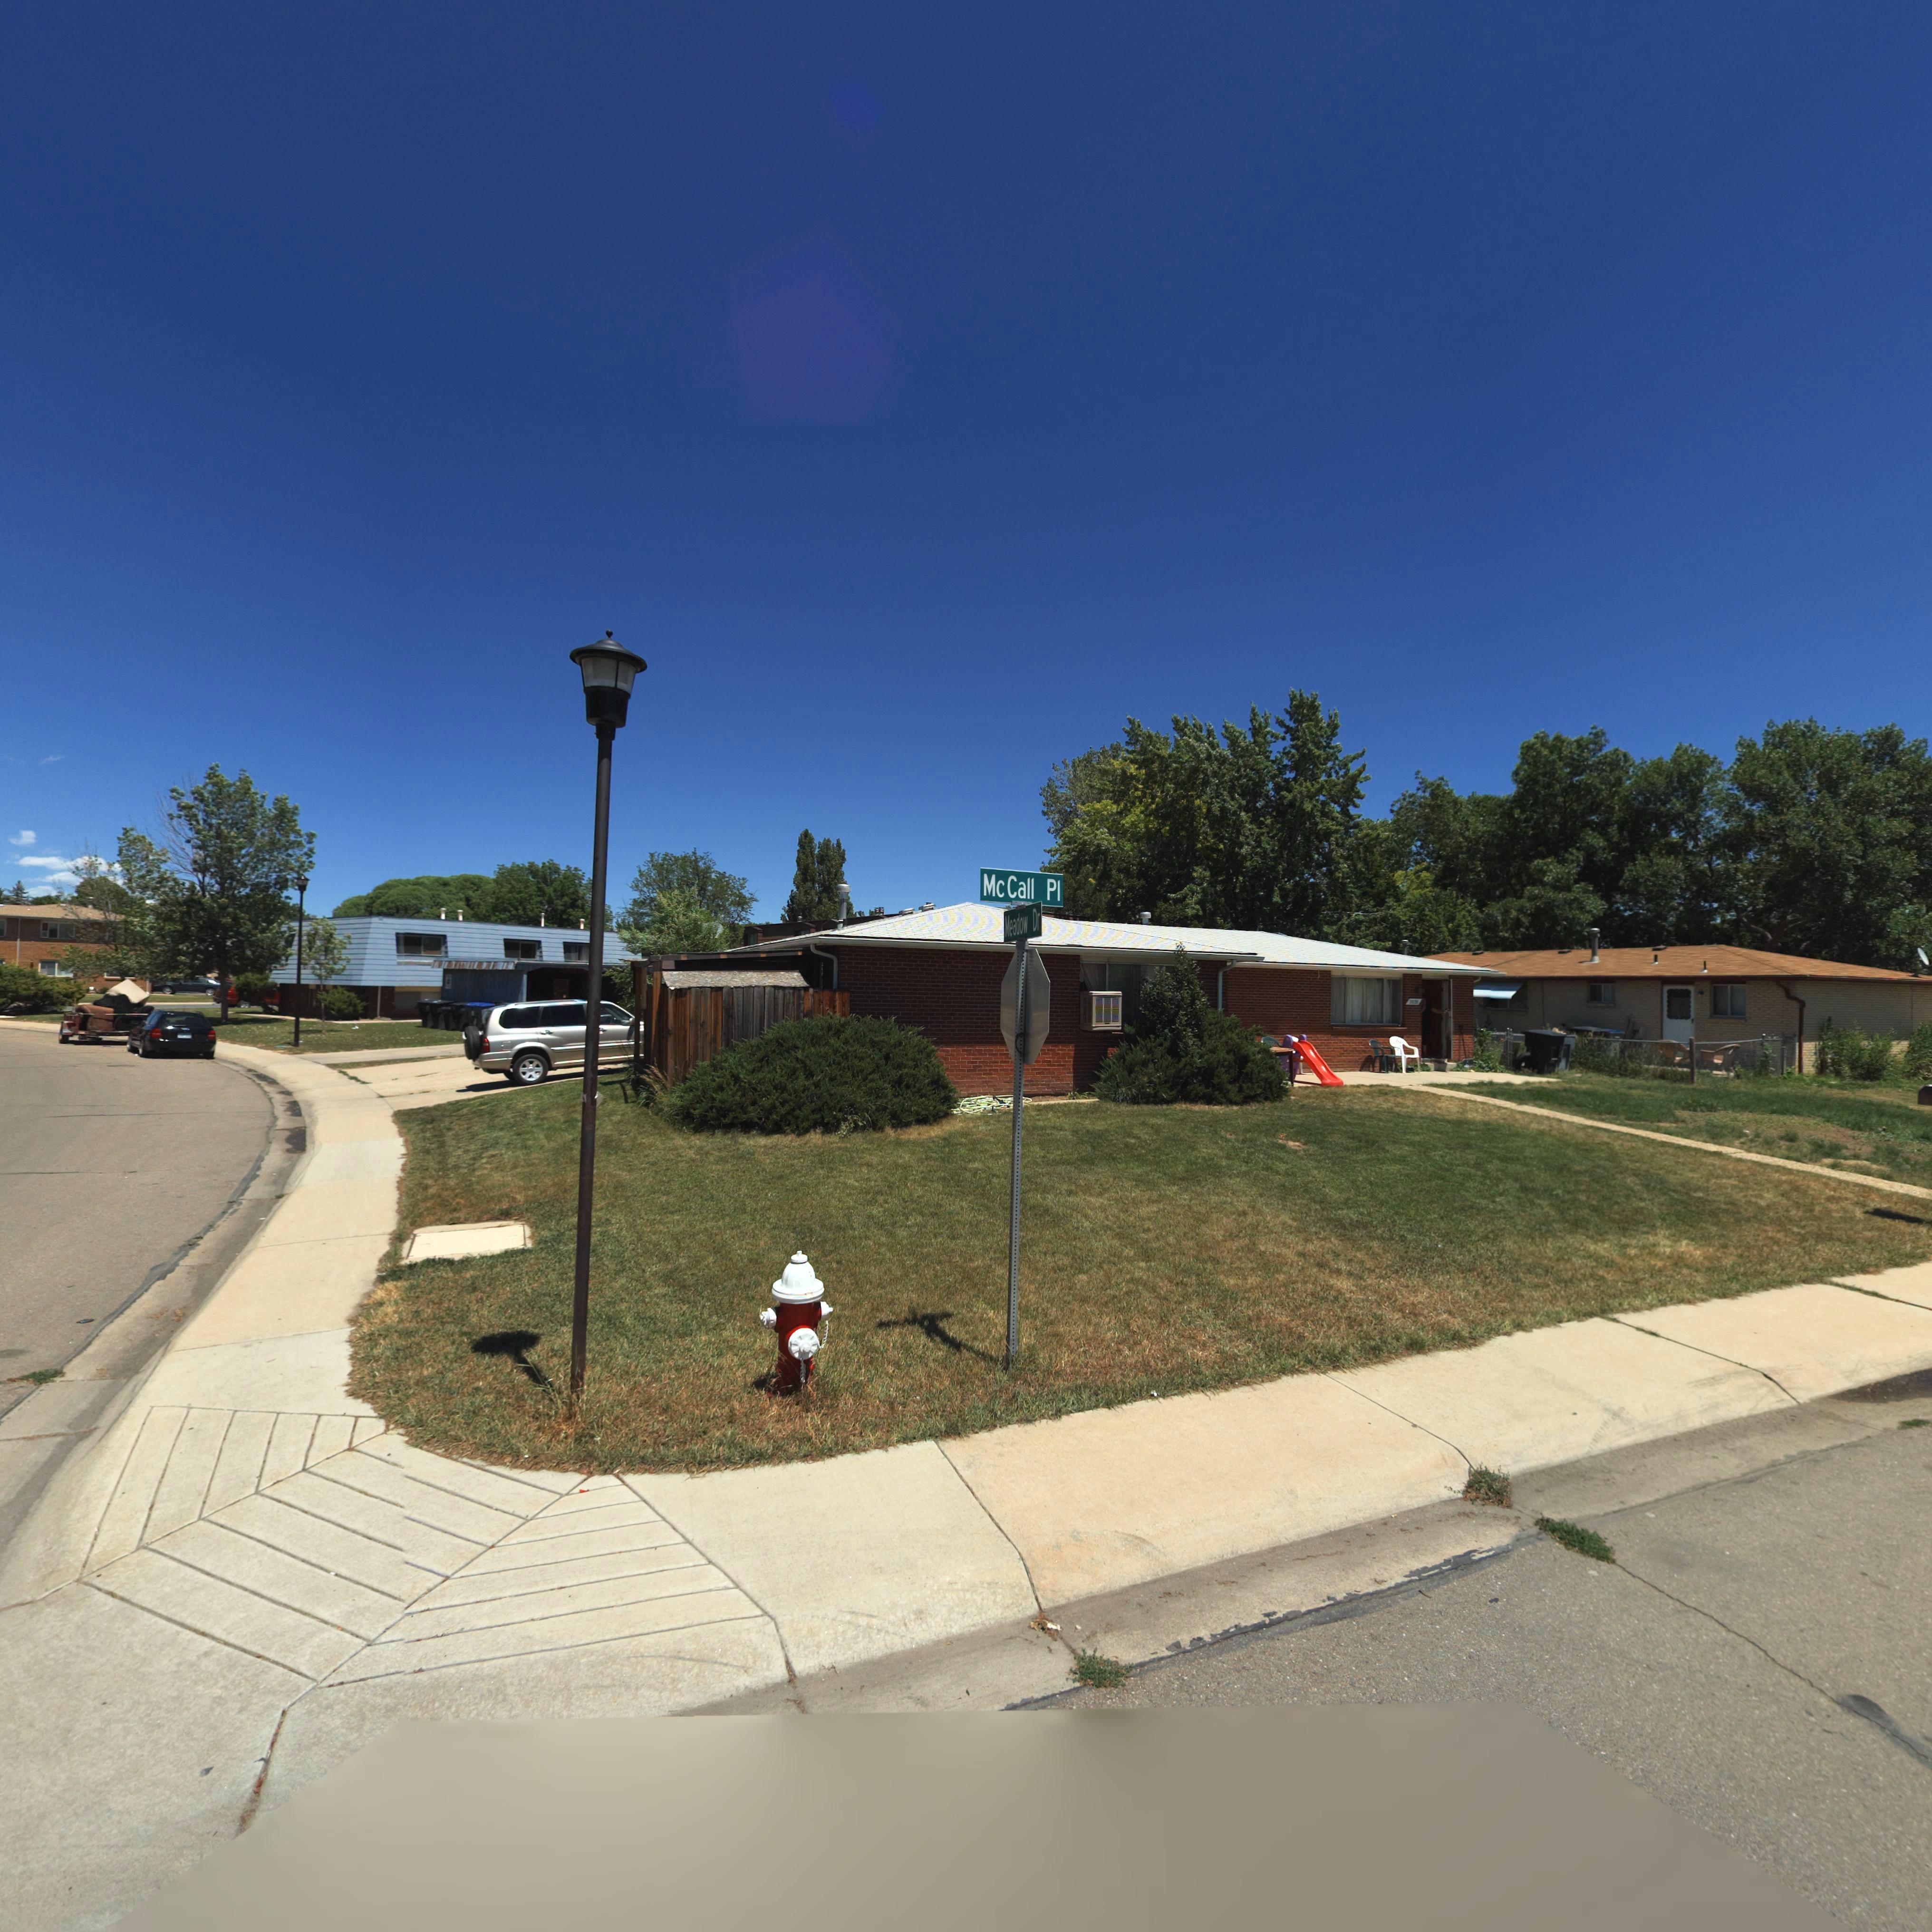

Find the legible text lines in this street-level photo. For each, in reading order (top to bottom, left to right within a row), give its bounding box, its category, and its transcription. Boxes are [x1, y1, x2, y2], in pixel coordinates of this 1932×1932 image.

[983, 873, 1061, 901] StreetName: McCall Pl
[1005, 908, 1040, 937] StreetName: Meadow Dr
[1409, 999, 1419, 1004] StreetNumber: 20*0